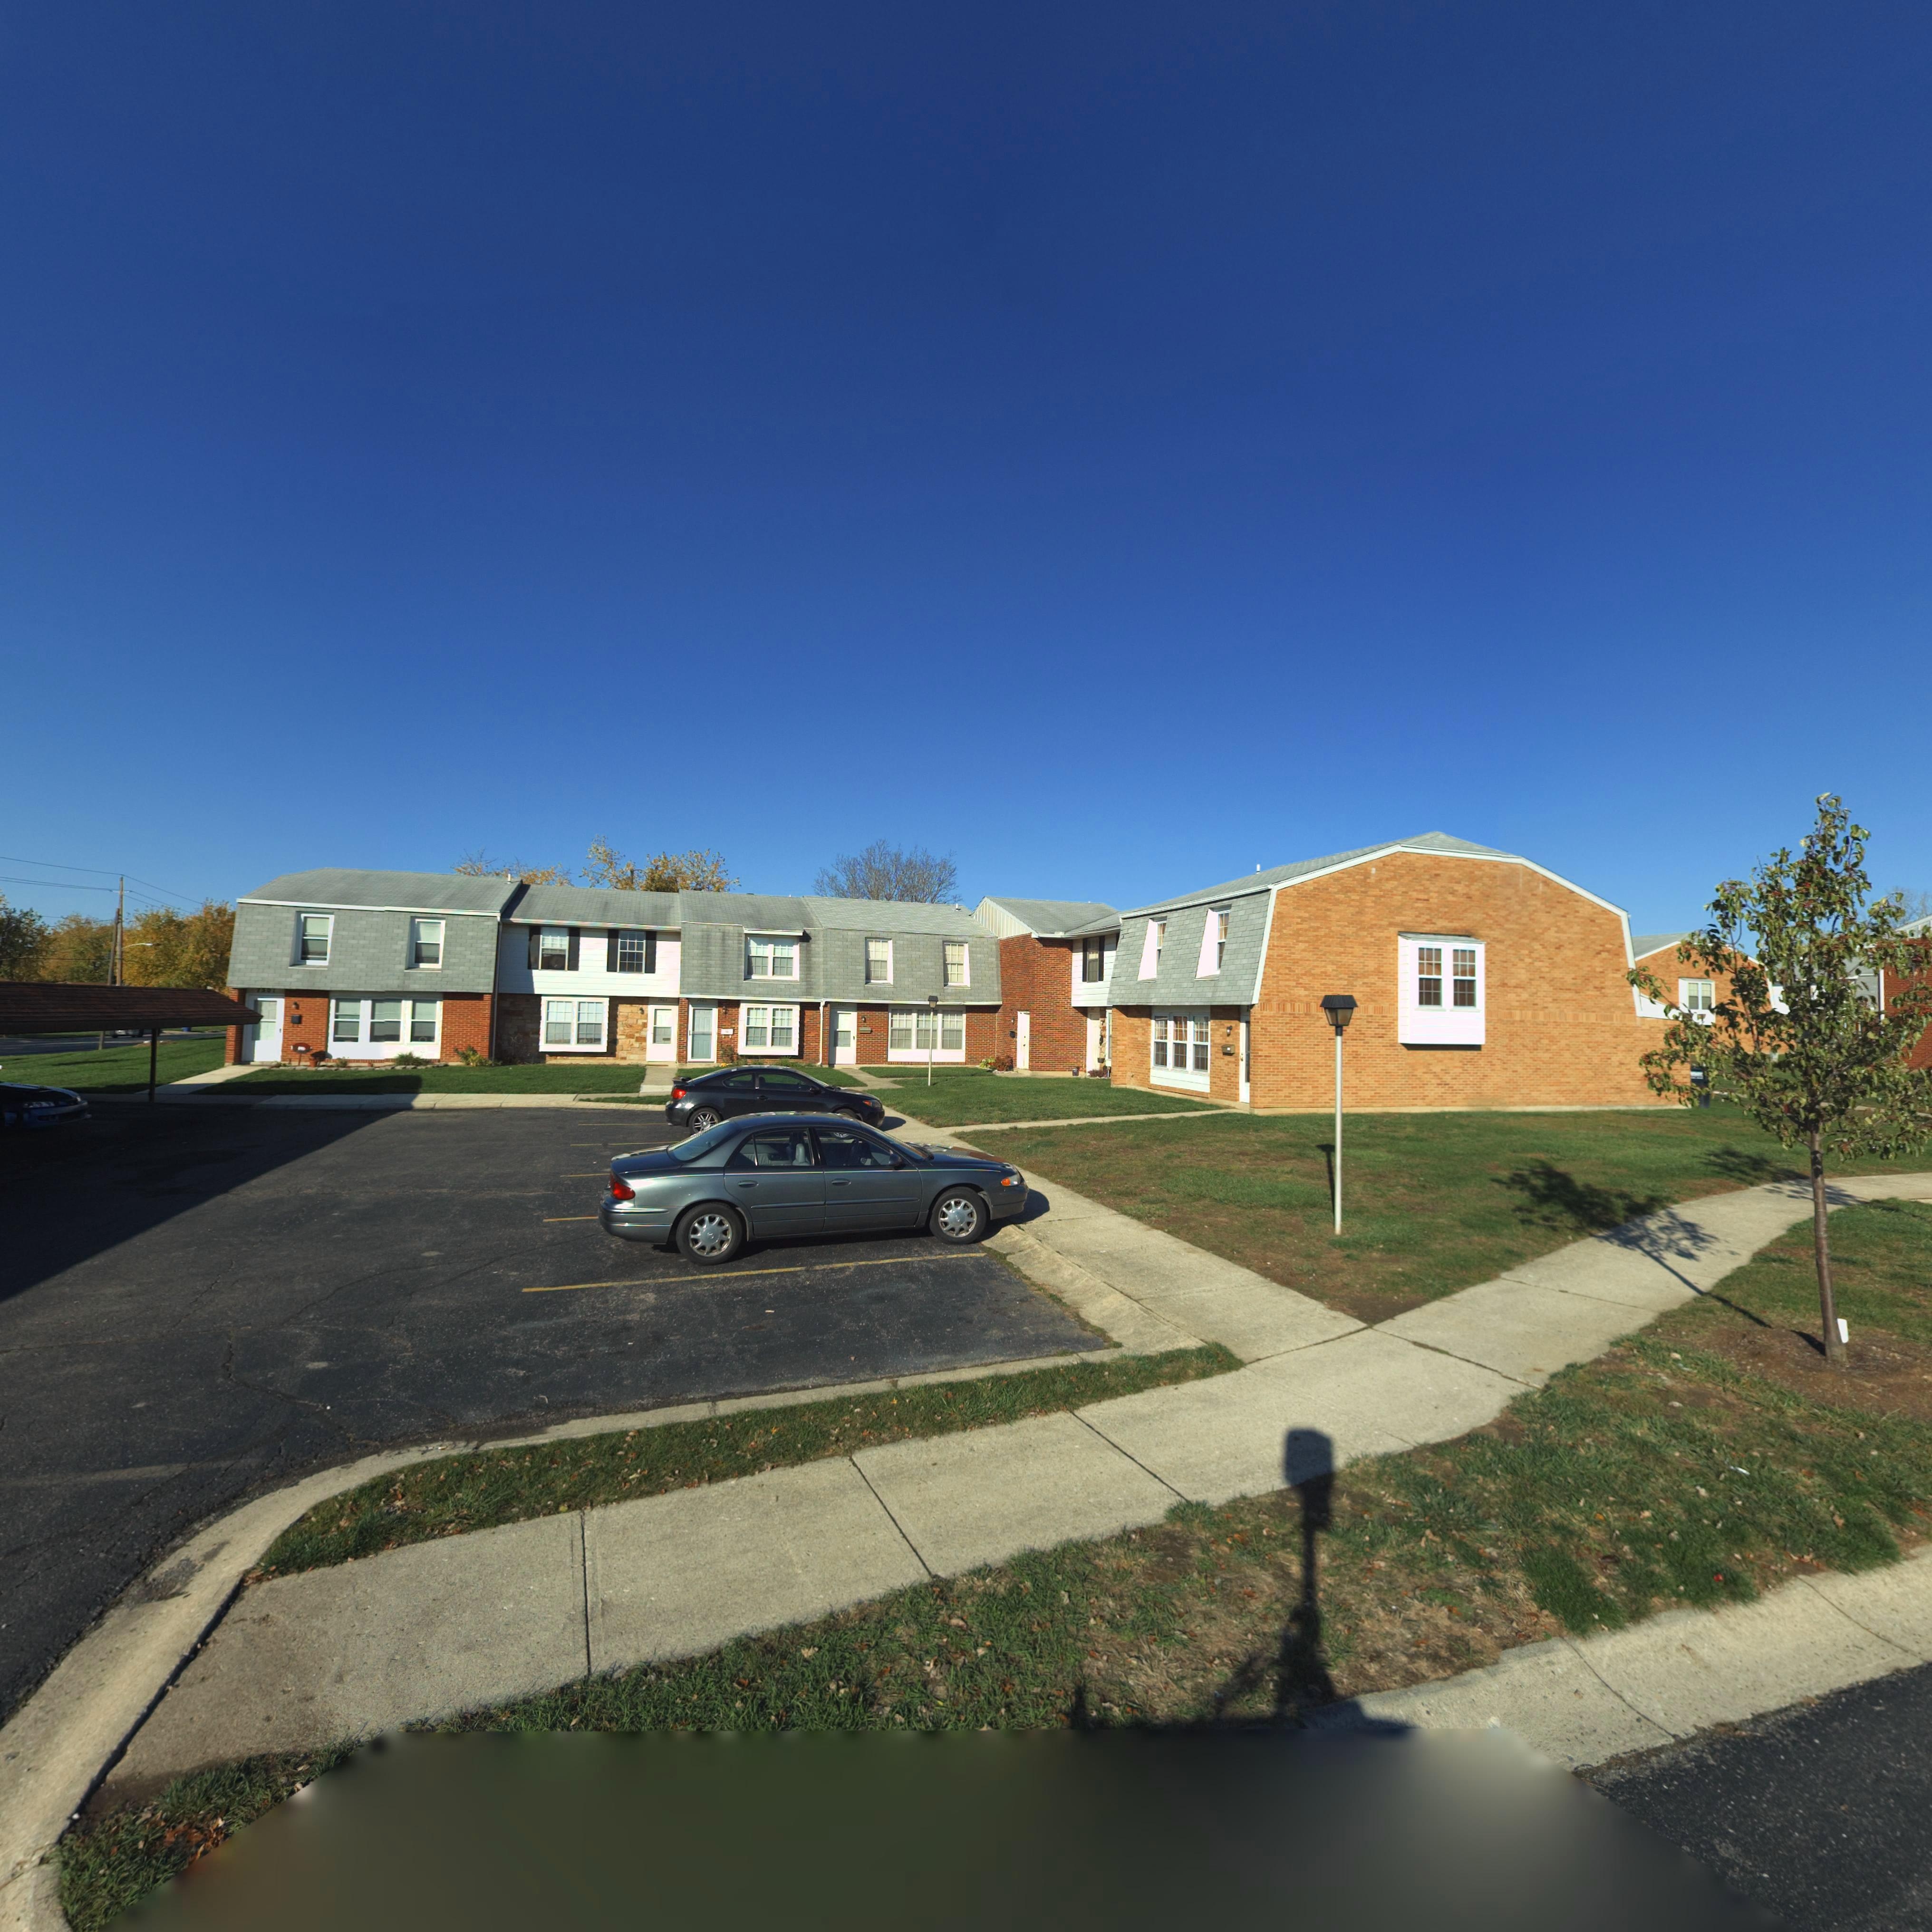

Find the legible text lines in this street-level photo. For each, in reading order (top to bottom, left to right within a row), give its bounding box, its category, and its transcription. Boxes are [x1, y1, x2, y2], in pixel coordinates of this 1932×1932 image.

[256, 988, 276, 993] StreetNumber: 7501
[662, 998, 665, 1002] StreetNumber: 0
[696, 999, 707, 1003] StreetNumber: 7**5
[841, 1003, 844, 1006] StreetNumber: 0
[1246, 1005, 1249, 1012] StreetNumber: 7